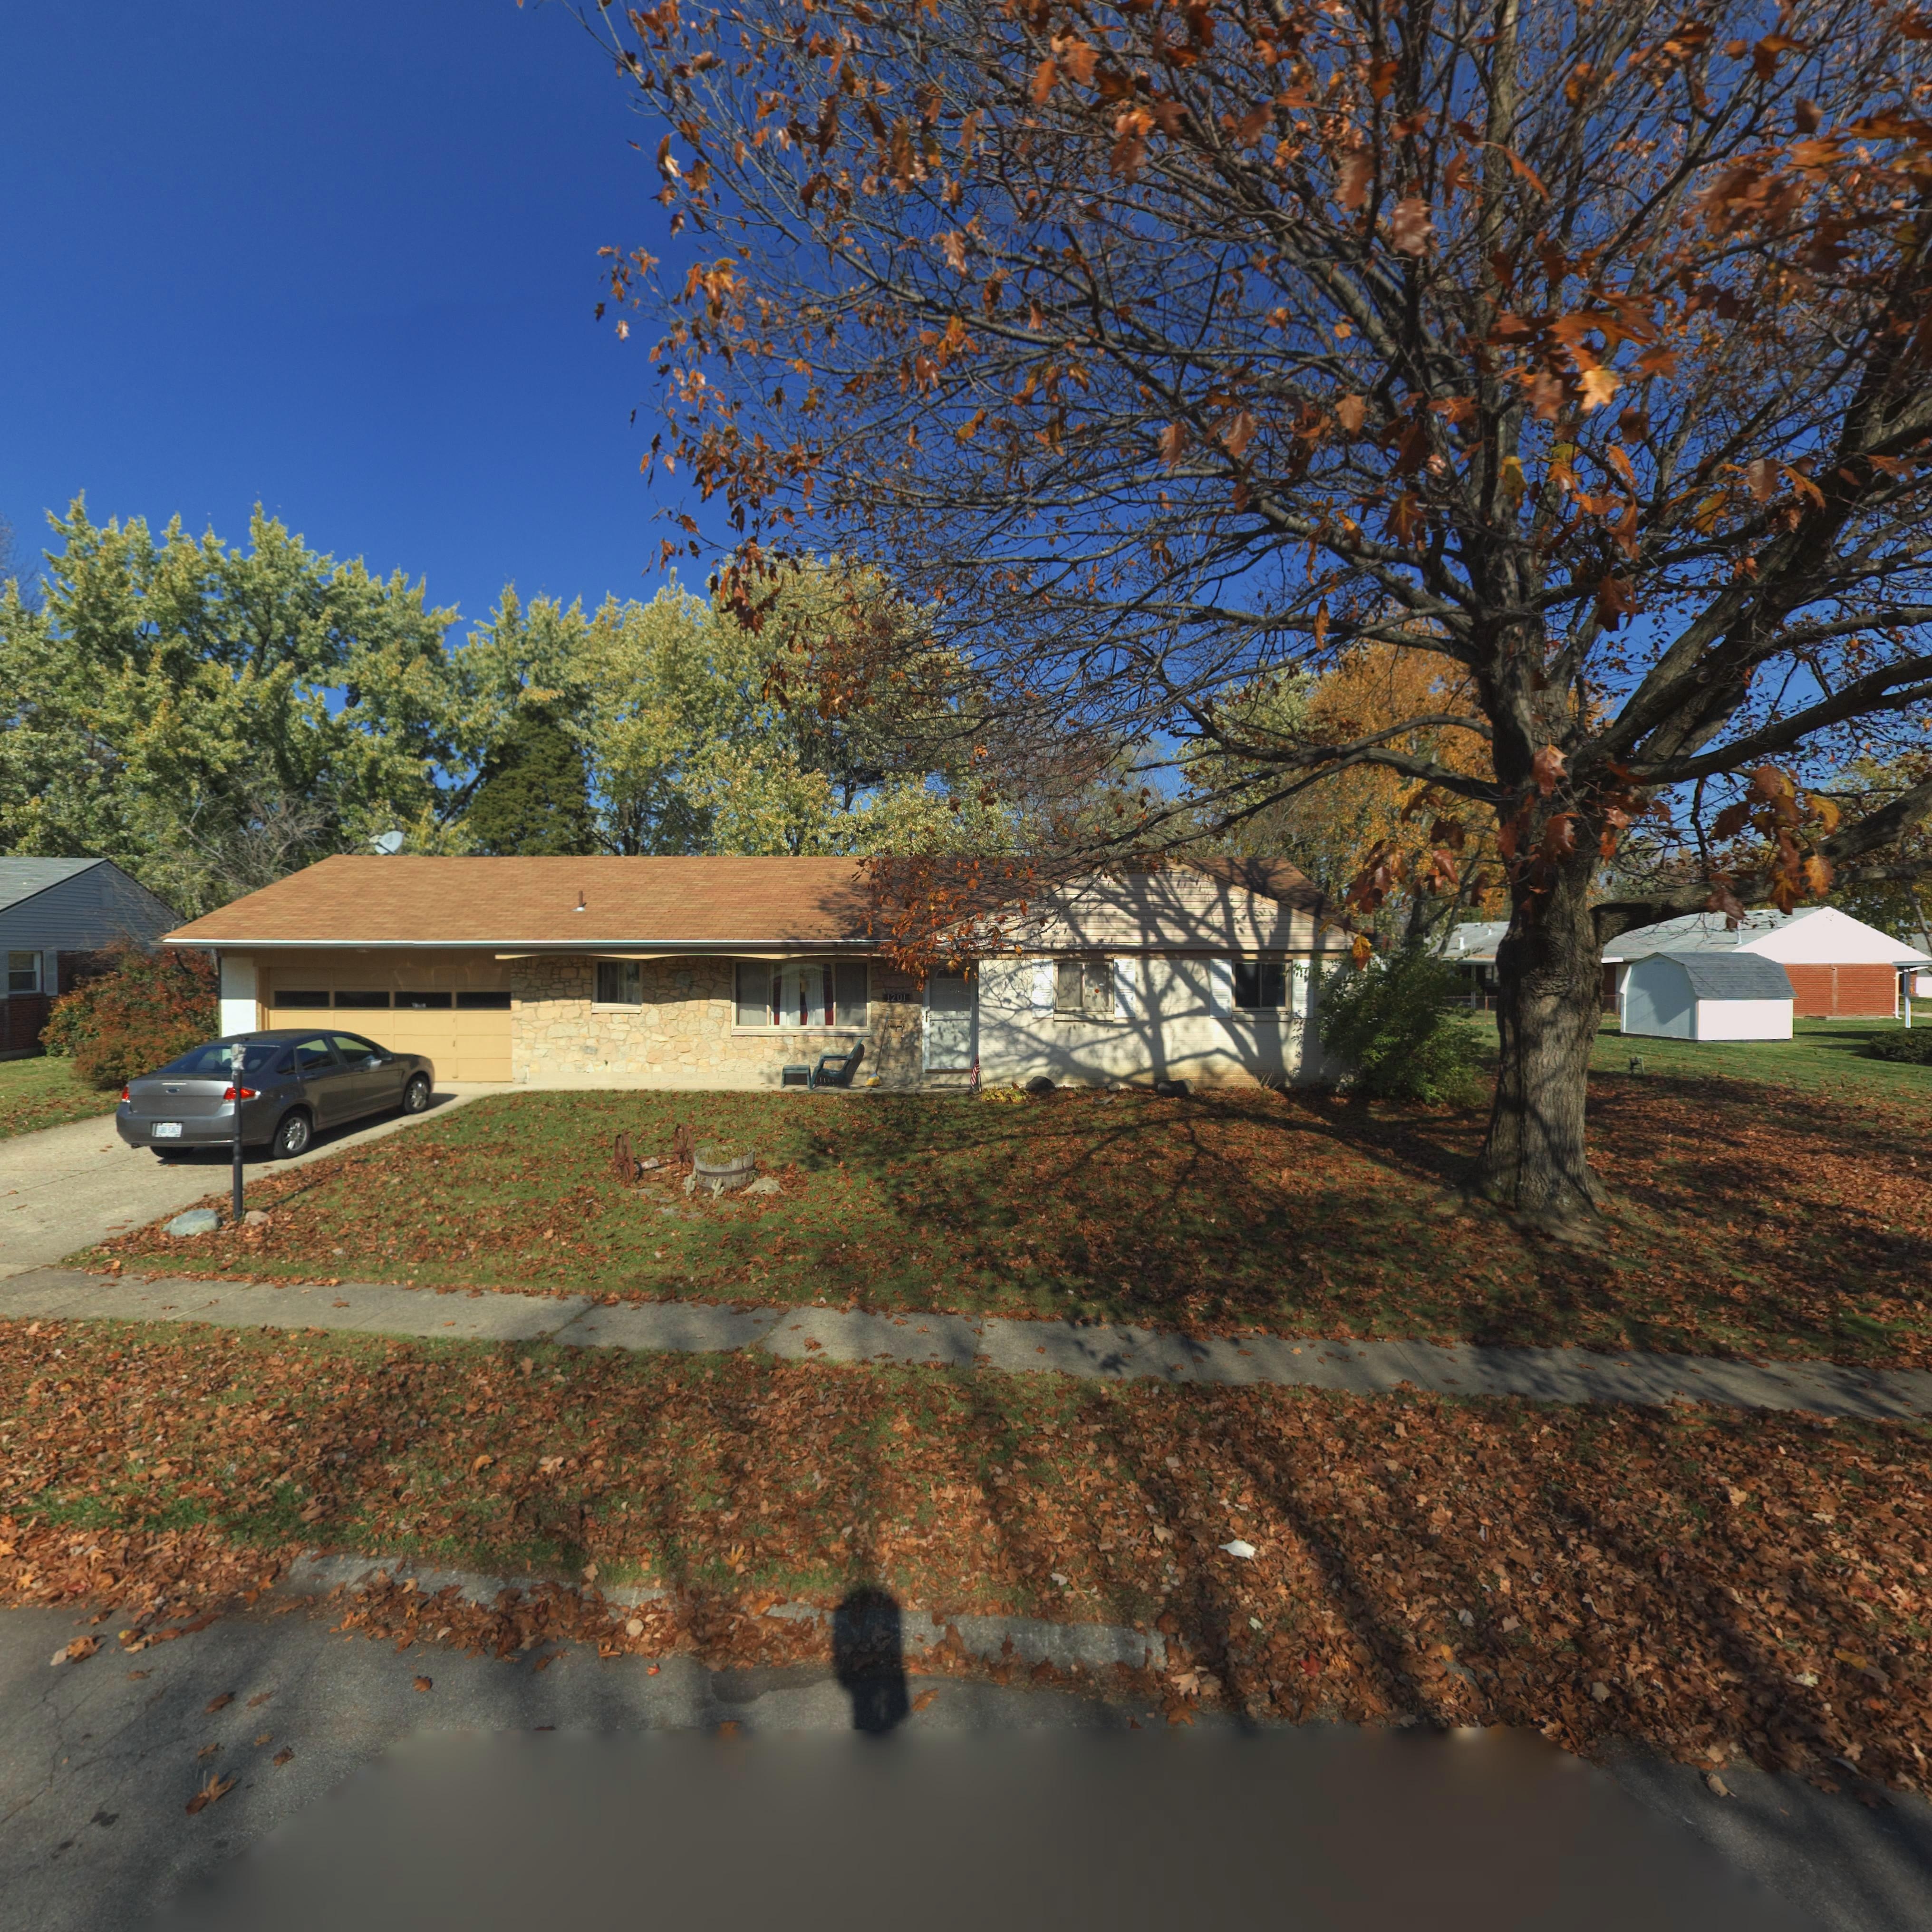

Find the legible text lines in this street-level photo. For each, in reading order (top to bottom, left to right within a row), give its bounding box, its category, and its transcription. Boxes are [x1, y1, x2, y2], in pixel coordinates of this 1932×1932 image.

[887, 994, 907, 1002] StreetNumber: 1201
[160, 1102, 185, 1107] None: FOCUS
[156, 1126, 180, 1133] None: GHD 5465